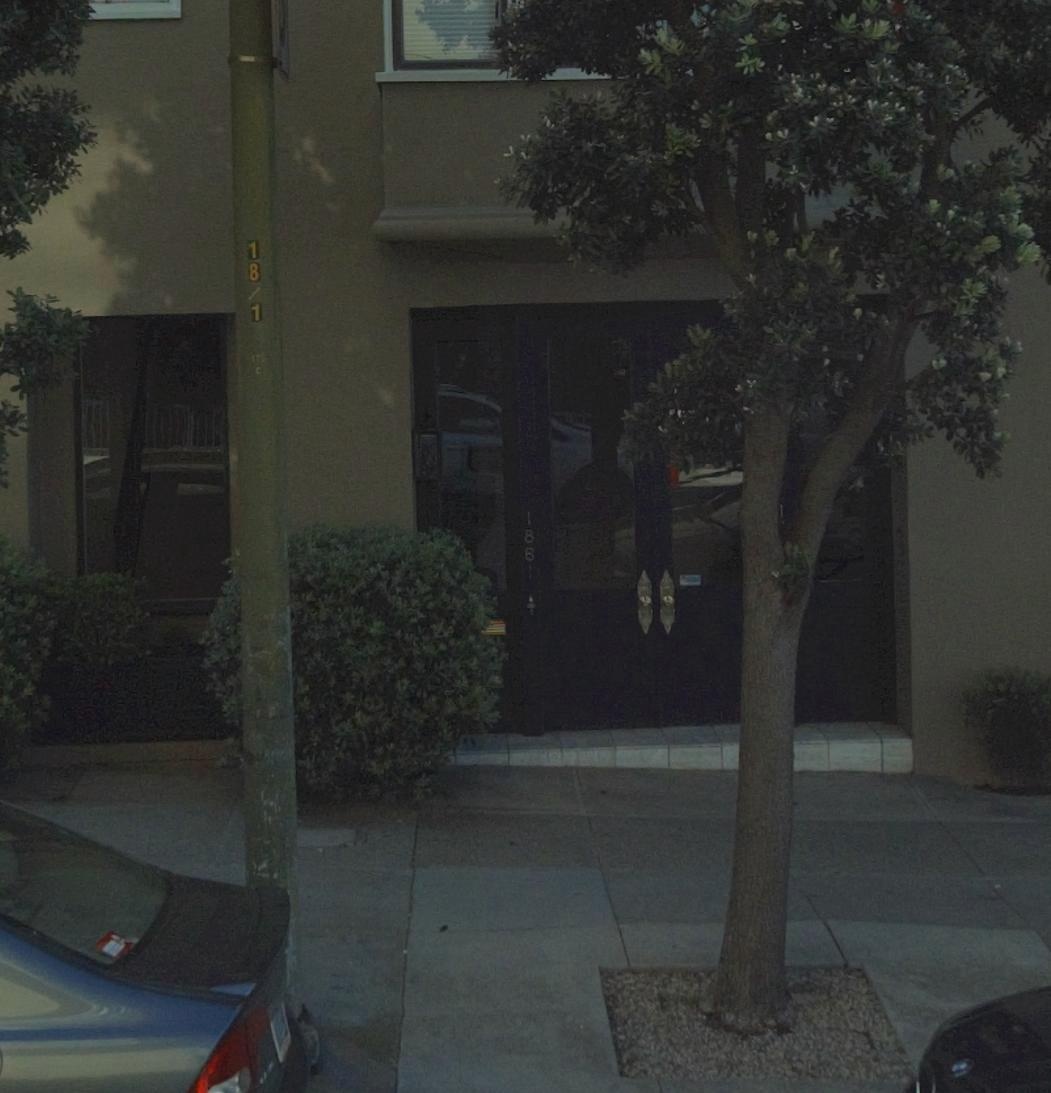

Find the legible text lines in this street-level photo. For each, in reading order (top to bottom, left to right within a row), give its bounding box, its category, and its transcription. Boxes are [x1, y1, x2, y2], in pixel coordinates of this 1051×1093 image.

[245, 239, 261, 321] None: 18 1
[523, 509, 536, 581] StreetNumber: 1861